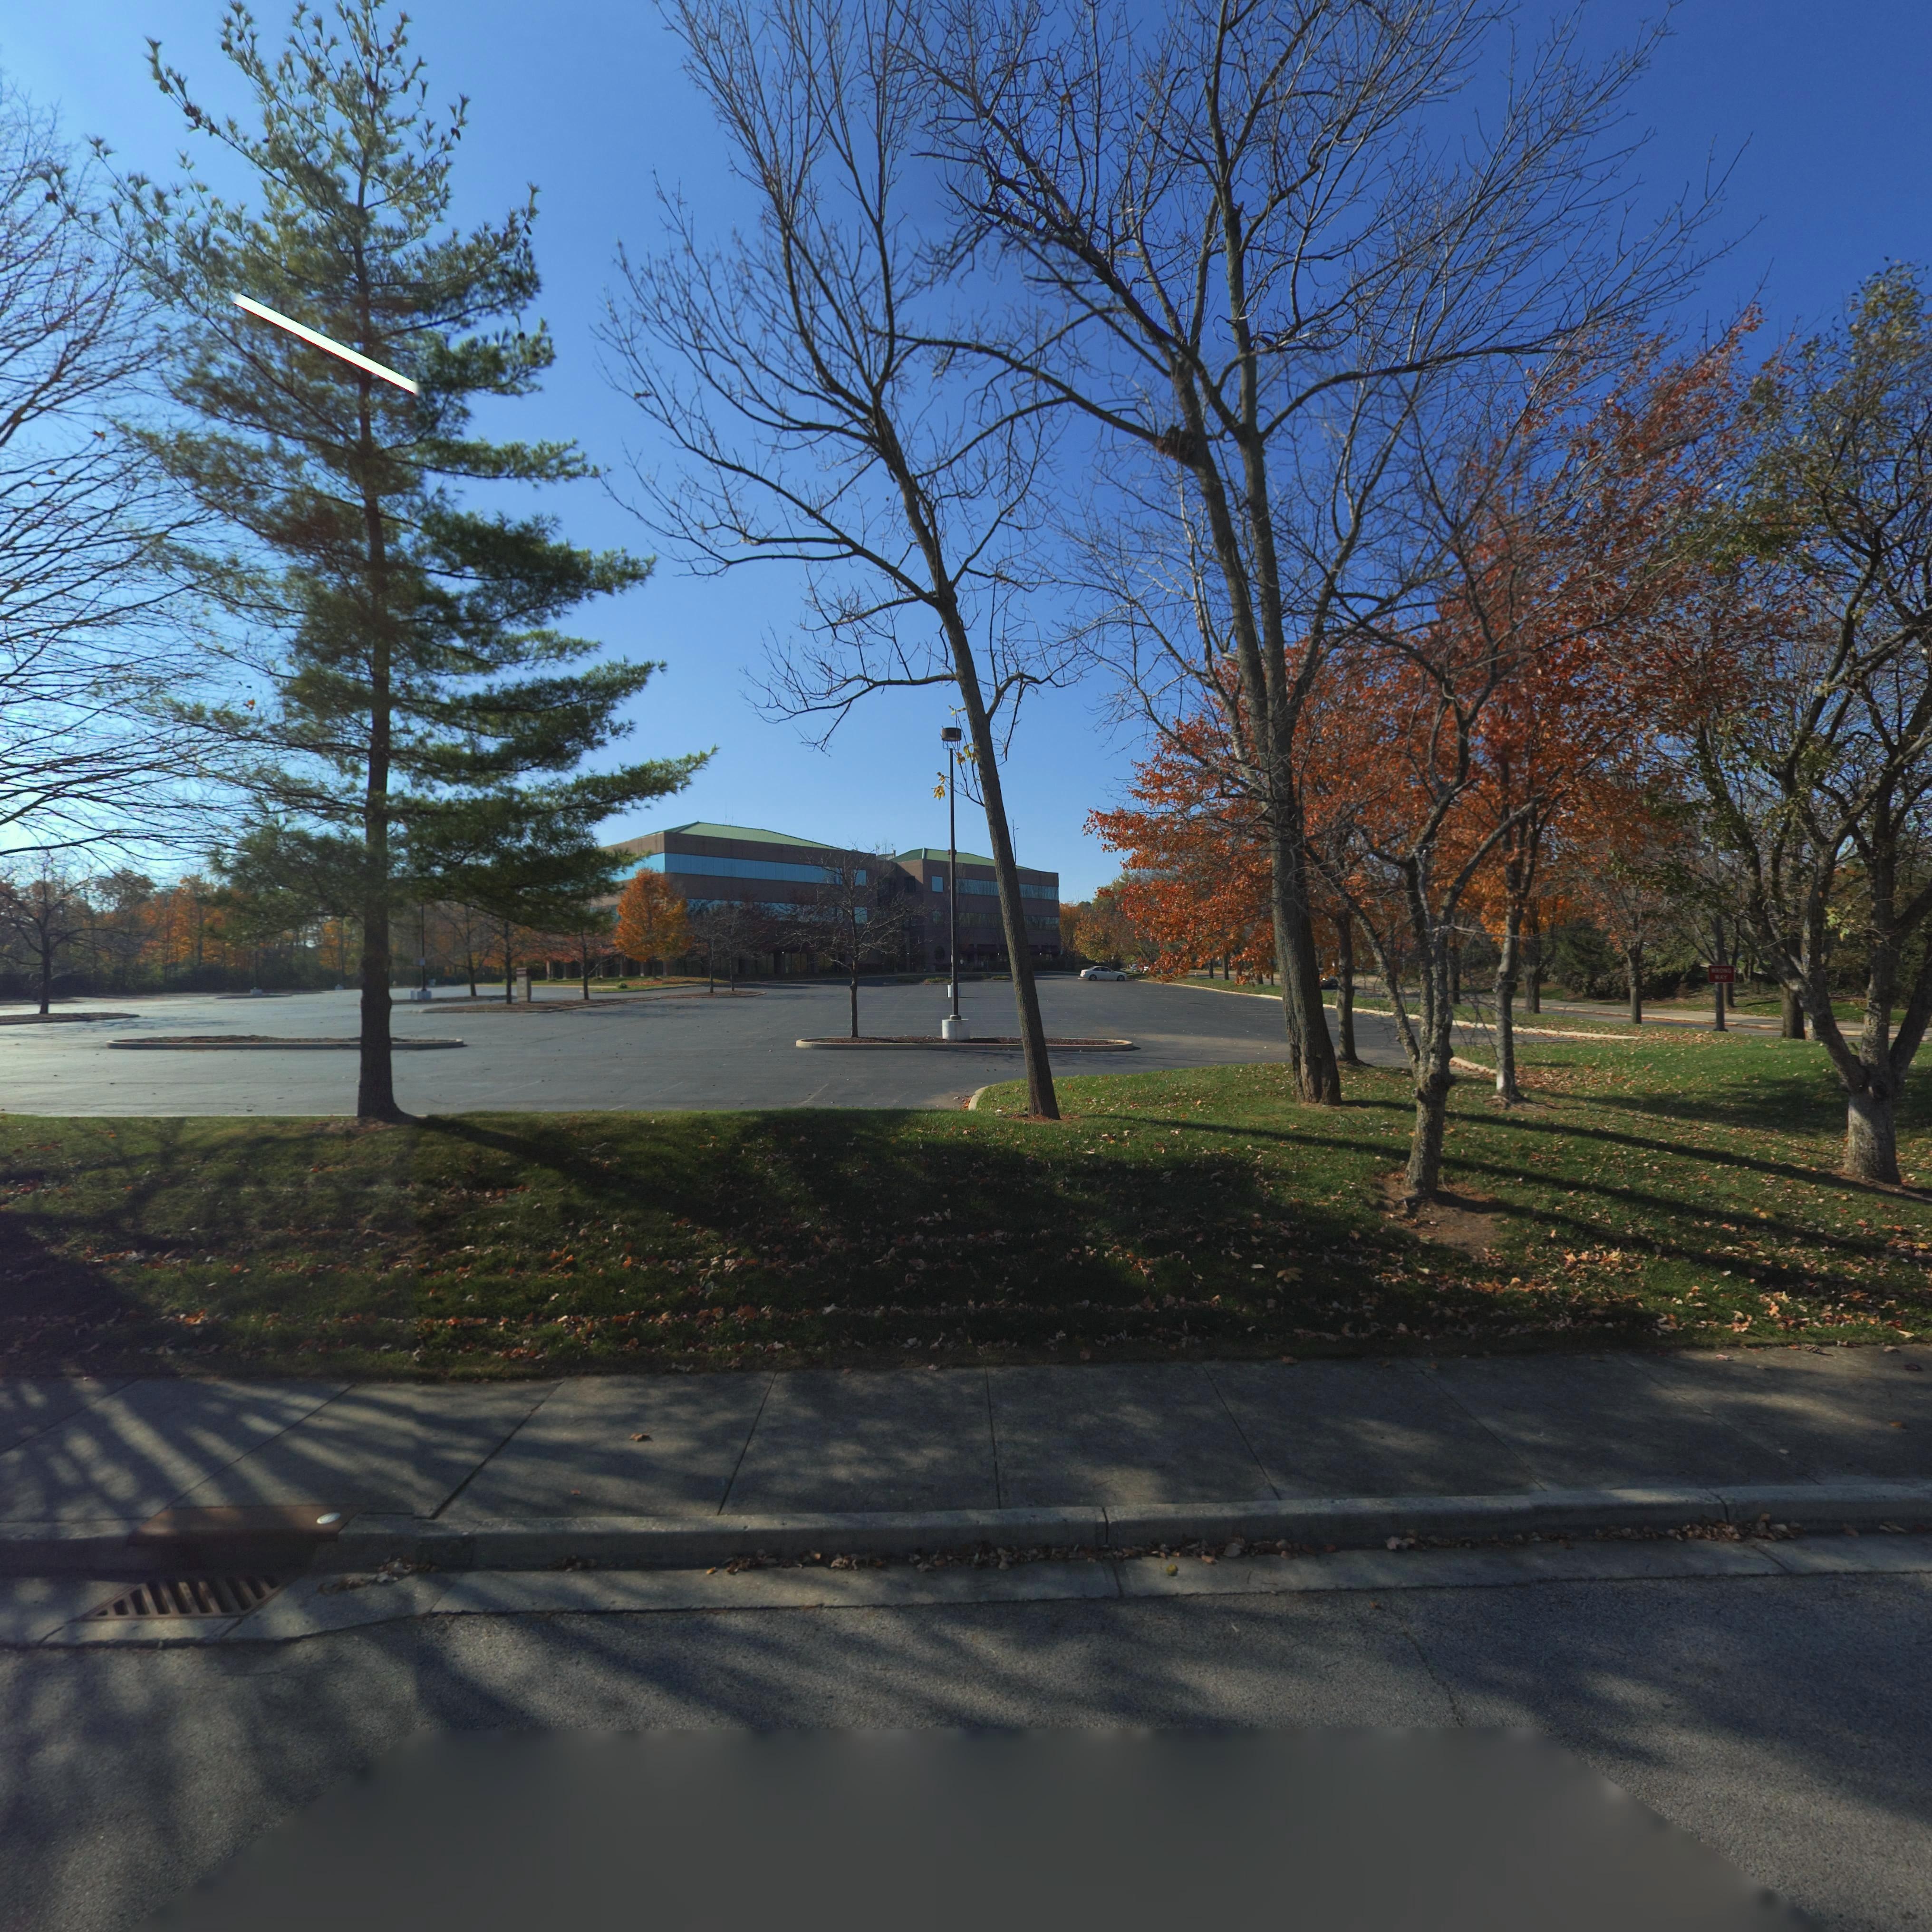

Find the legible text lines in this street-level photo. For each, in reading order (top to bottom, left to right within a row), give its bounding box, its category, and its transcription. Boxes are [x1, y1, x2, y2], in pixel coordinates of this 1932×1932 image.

[1711, 967, 1732, 974] None: WRONG
[1714, 974, 1728, 980] None: WAY